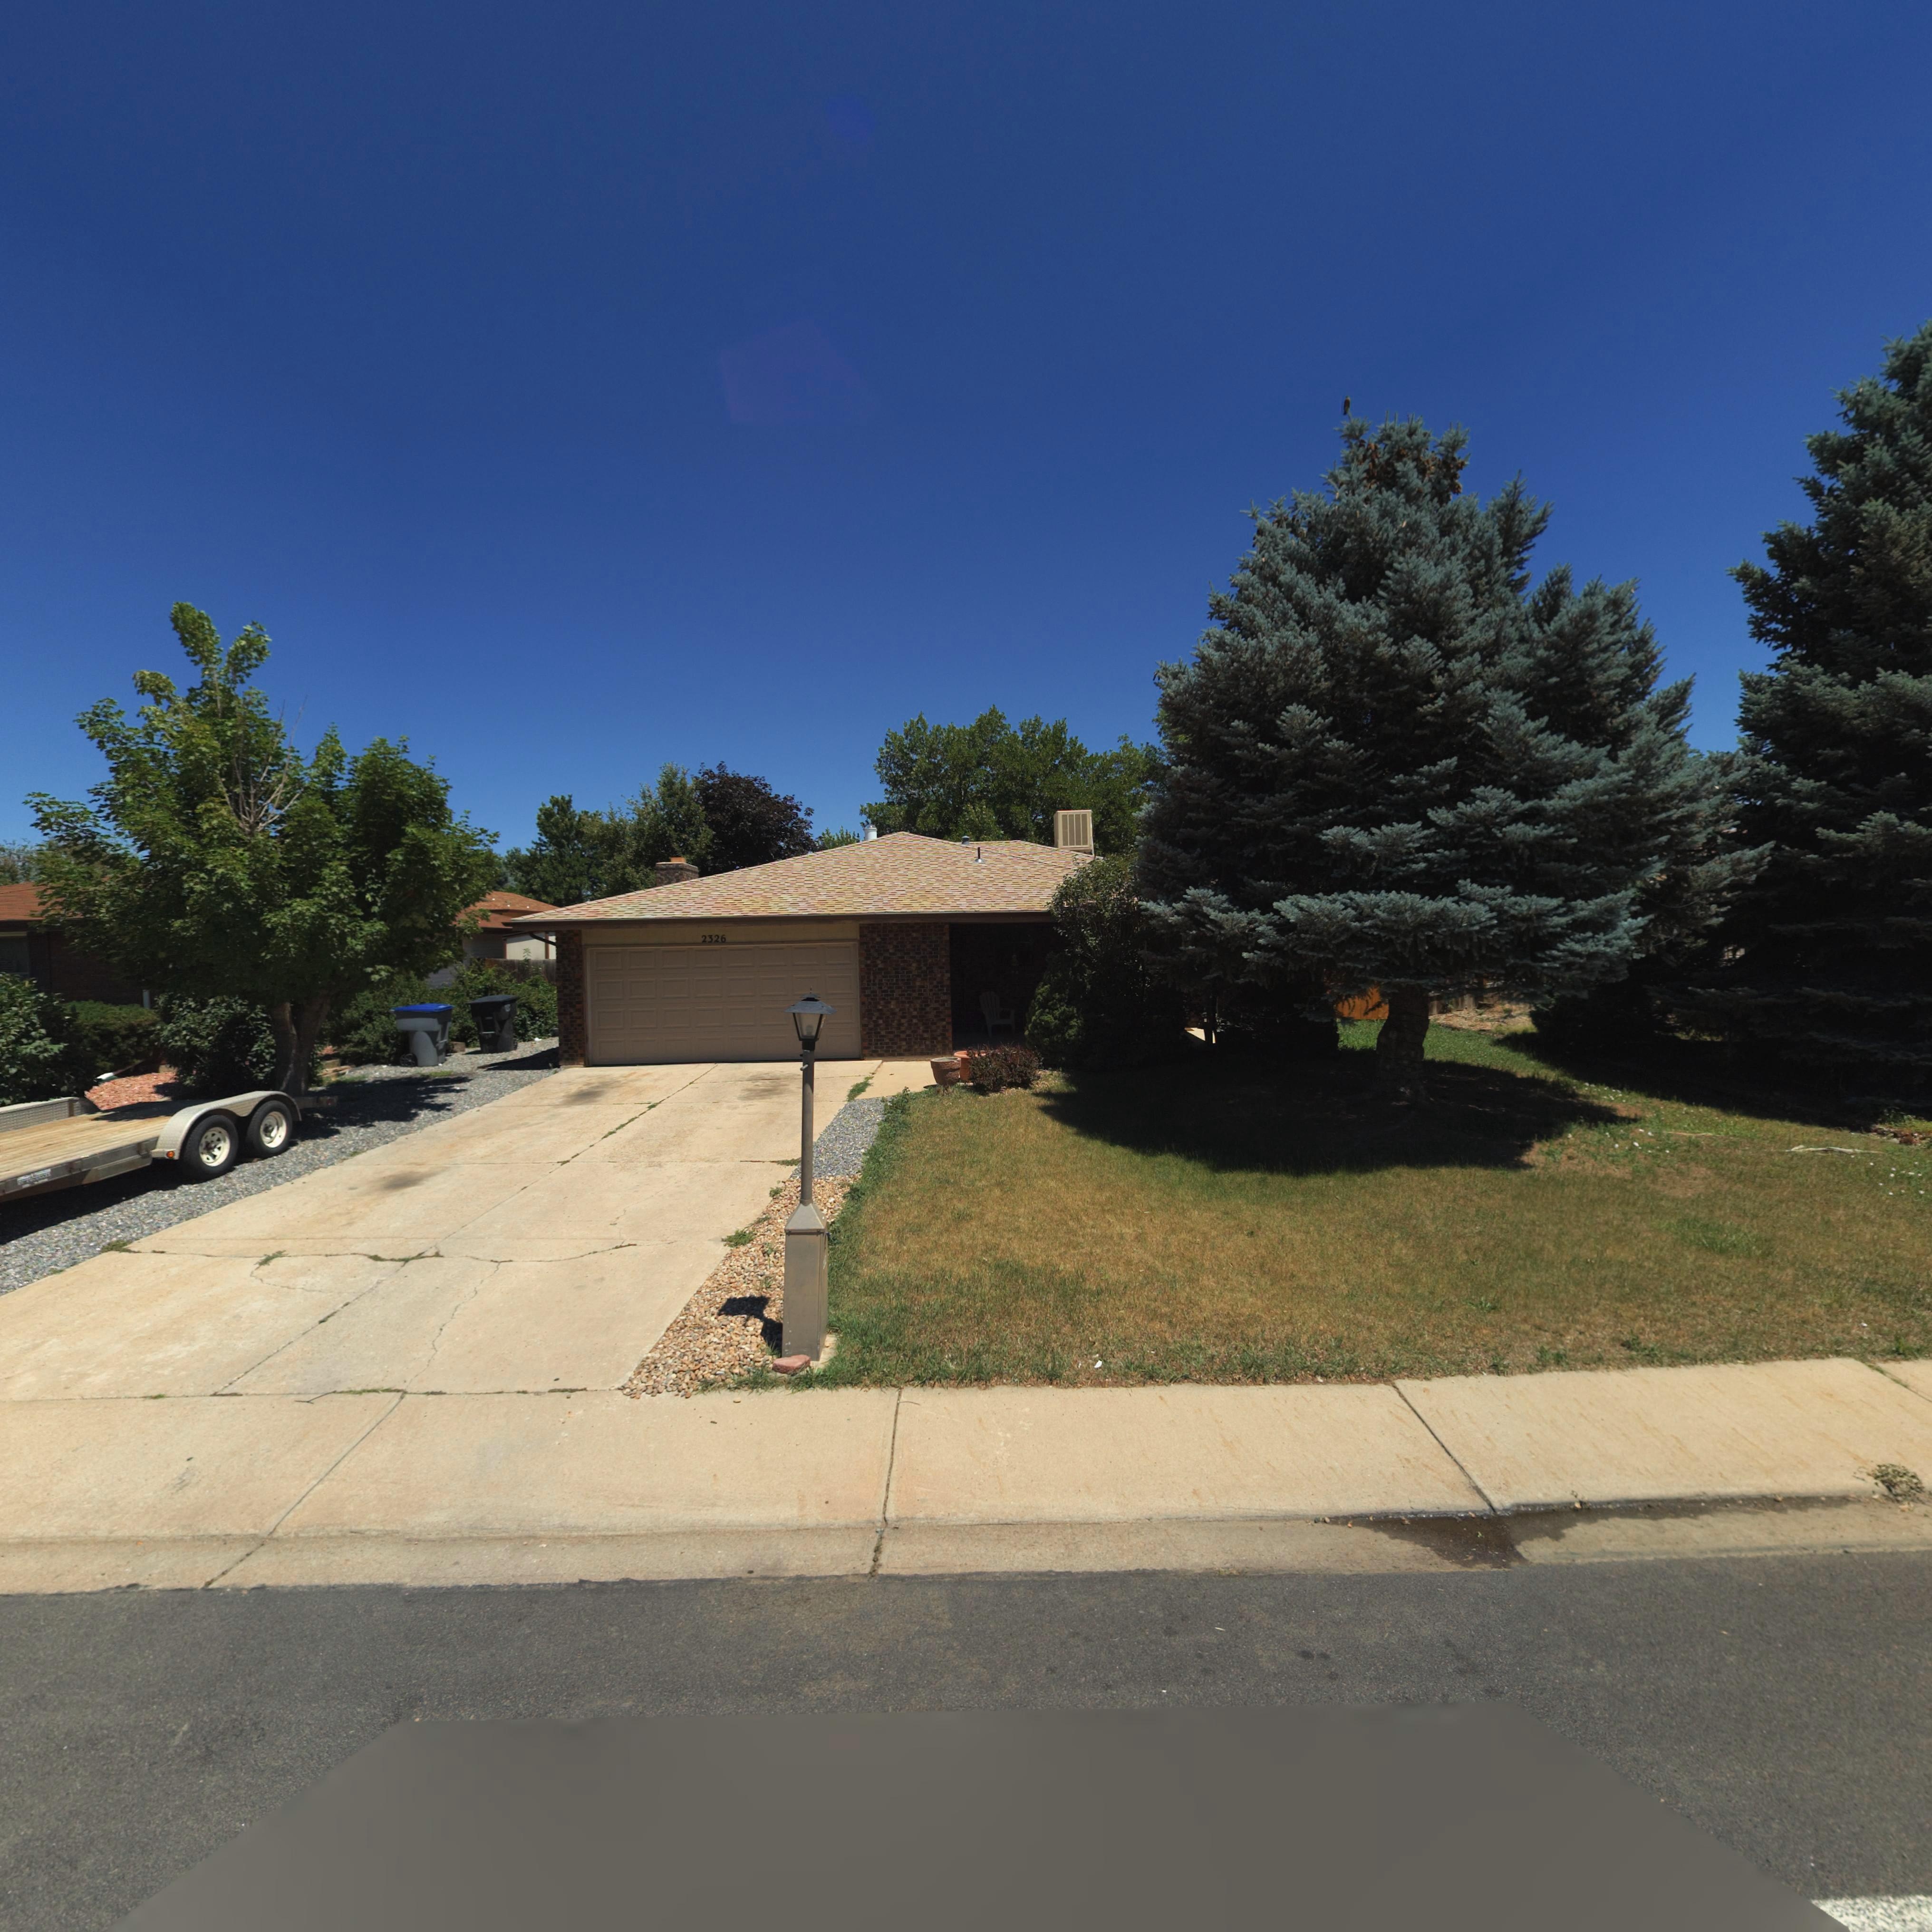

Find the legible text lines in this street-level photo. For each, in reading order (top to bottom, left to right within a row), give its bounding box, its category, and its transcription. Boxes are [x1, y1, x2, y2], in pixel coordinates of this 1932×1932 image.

[701, 934, 726, 943] StreetNumber: 2326